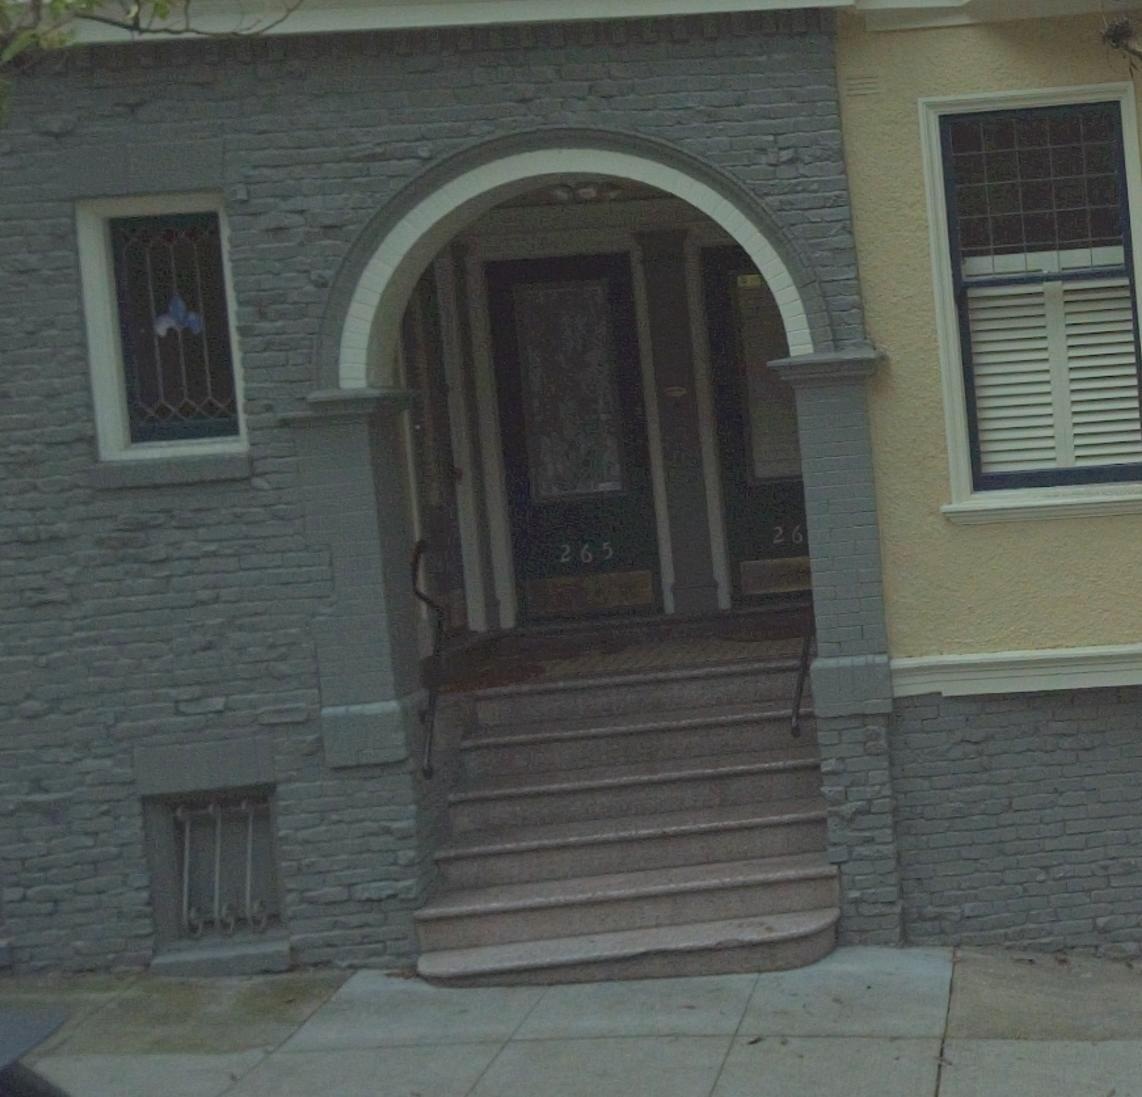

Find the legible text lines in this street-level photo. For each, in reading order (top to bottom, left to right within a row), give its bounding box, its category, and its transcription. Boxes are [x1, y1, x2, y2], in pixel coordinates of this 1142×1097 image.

[770, 521, 807, 548] StreetNumber: 26
[555, 538, 615, 566] StreetNumber: 265